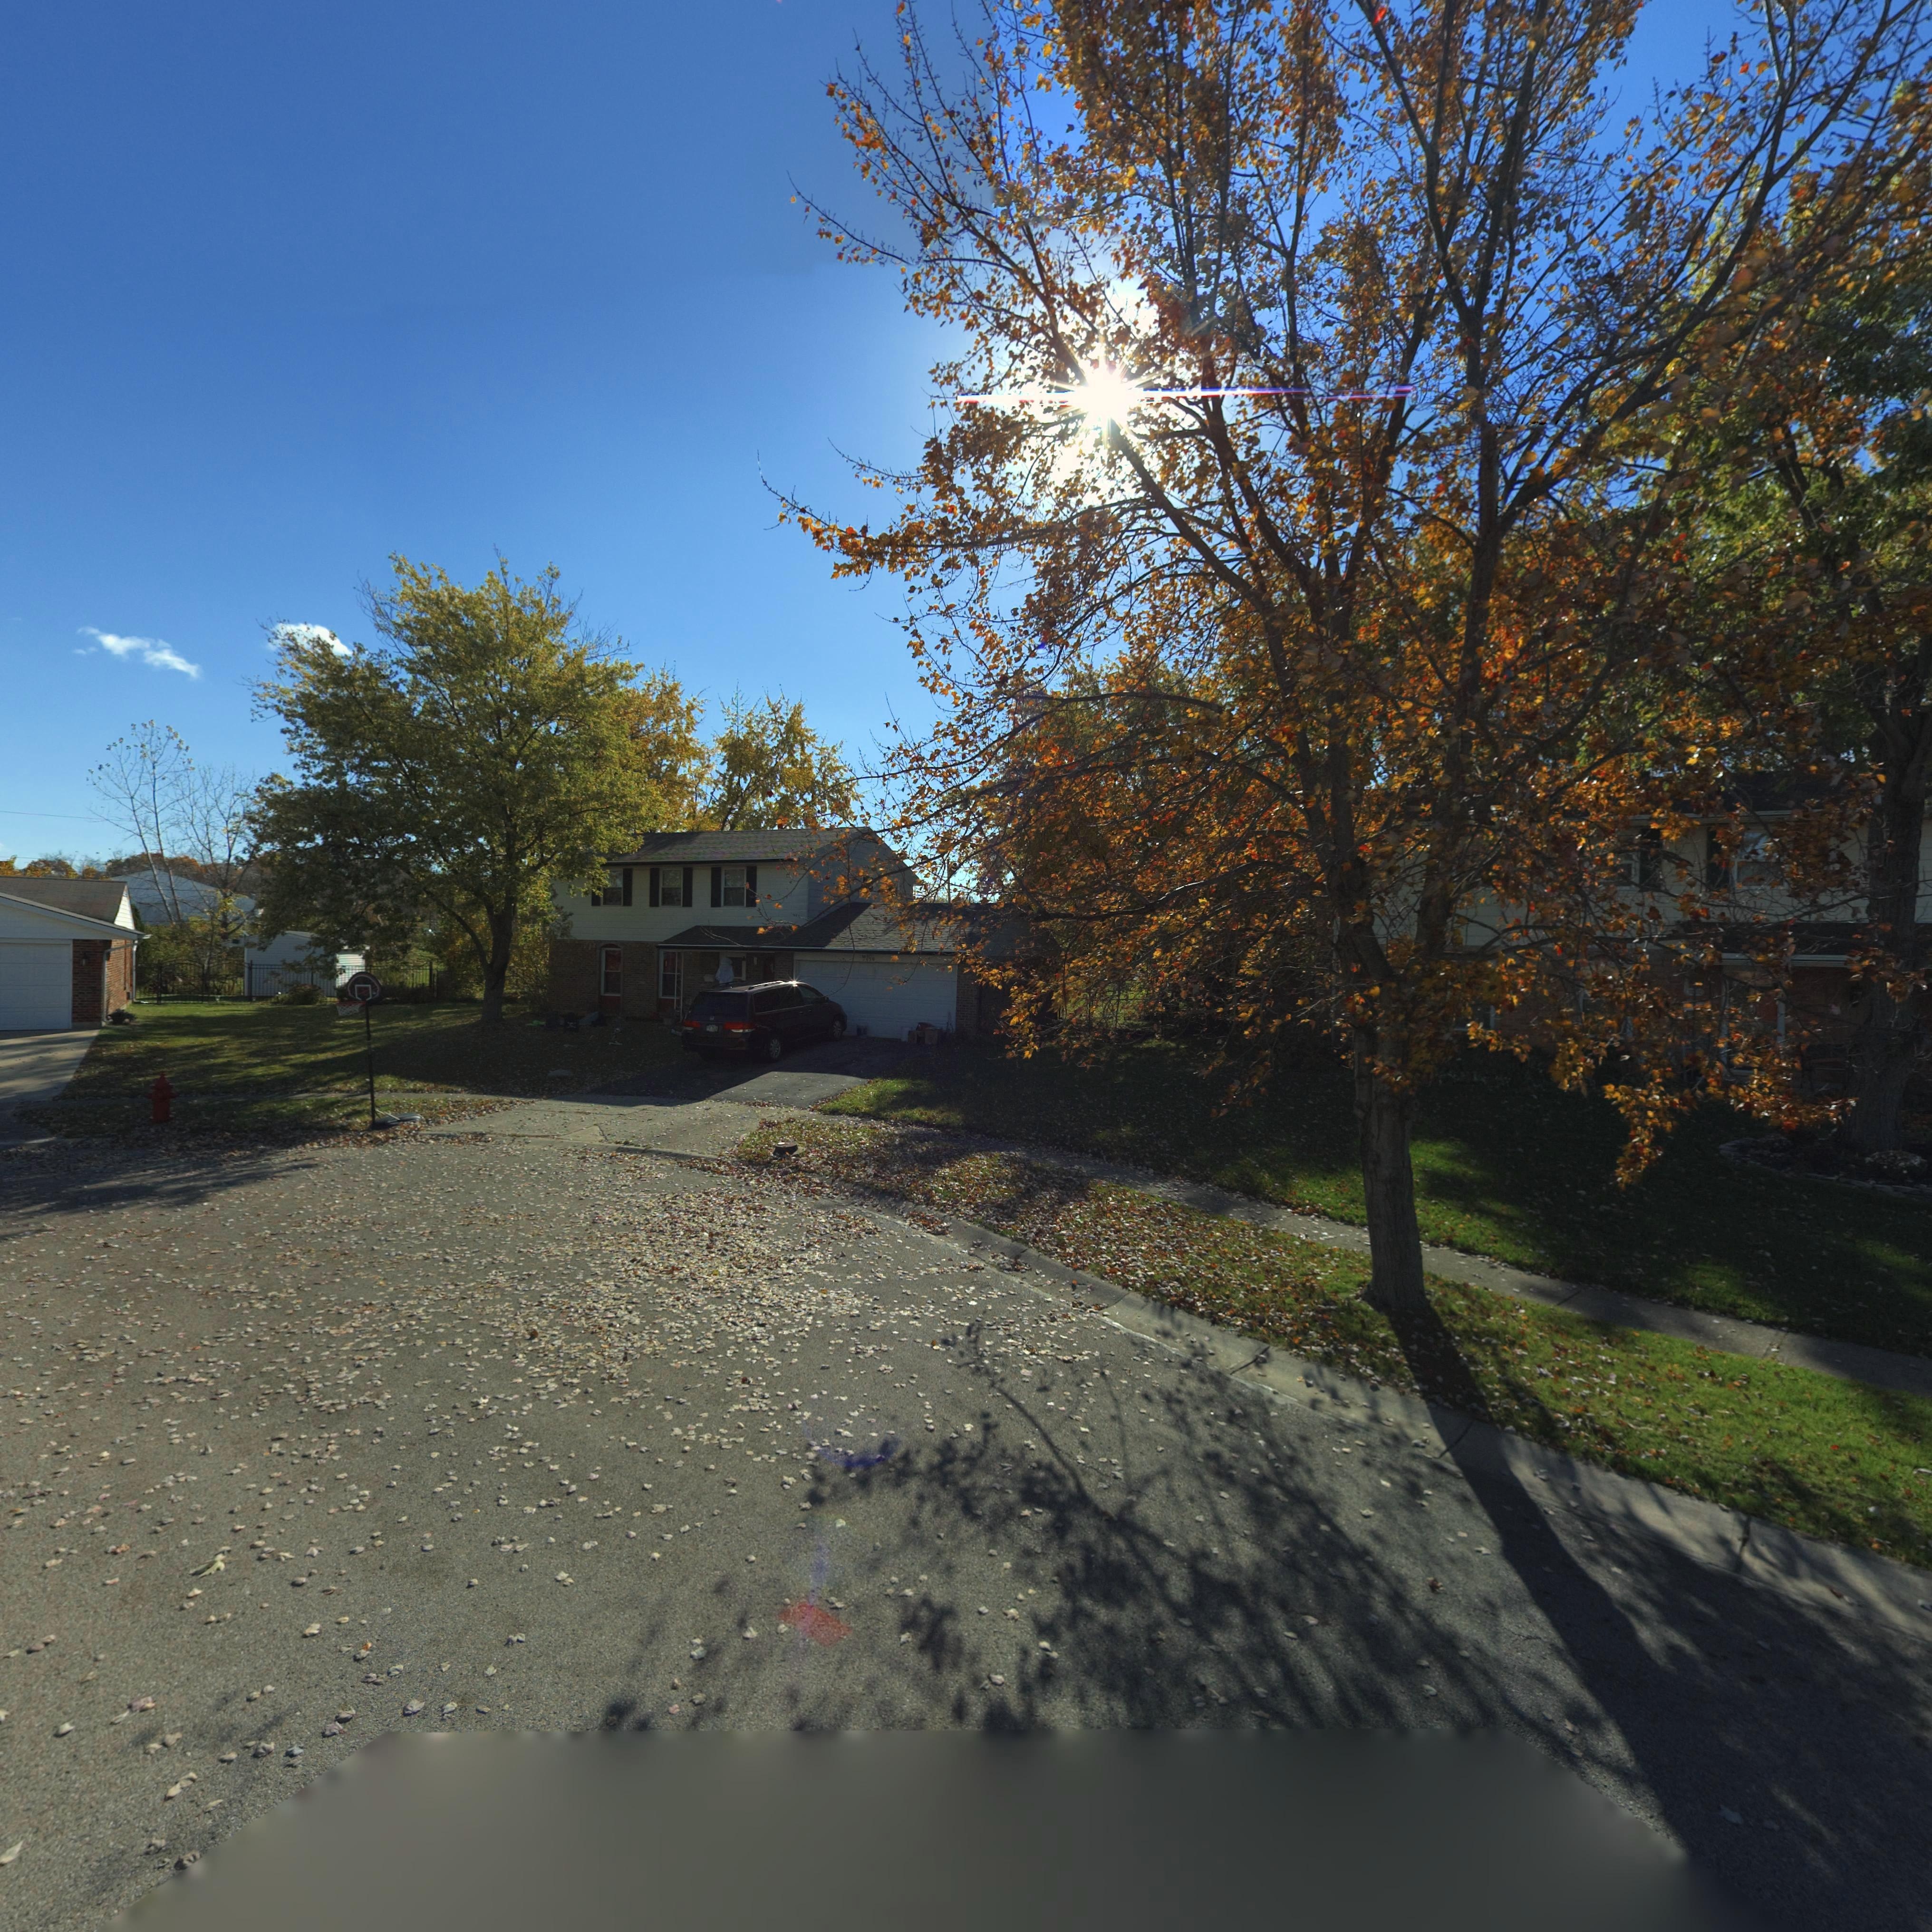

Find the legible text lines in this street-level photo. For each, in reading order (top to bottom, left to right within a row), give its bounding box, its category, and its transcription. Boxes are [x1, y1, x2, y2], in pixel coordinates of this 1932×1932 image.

[868, 956, 876, 961] StreetNumber: 30